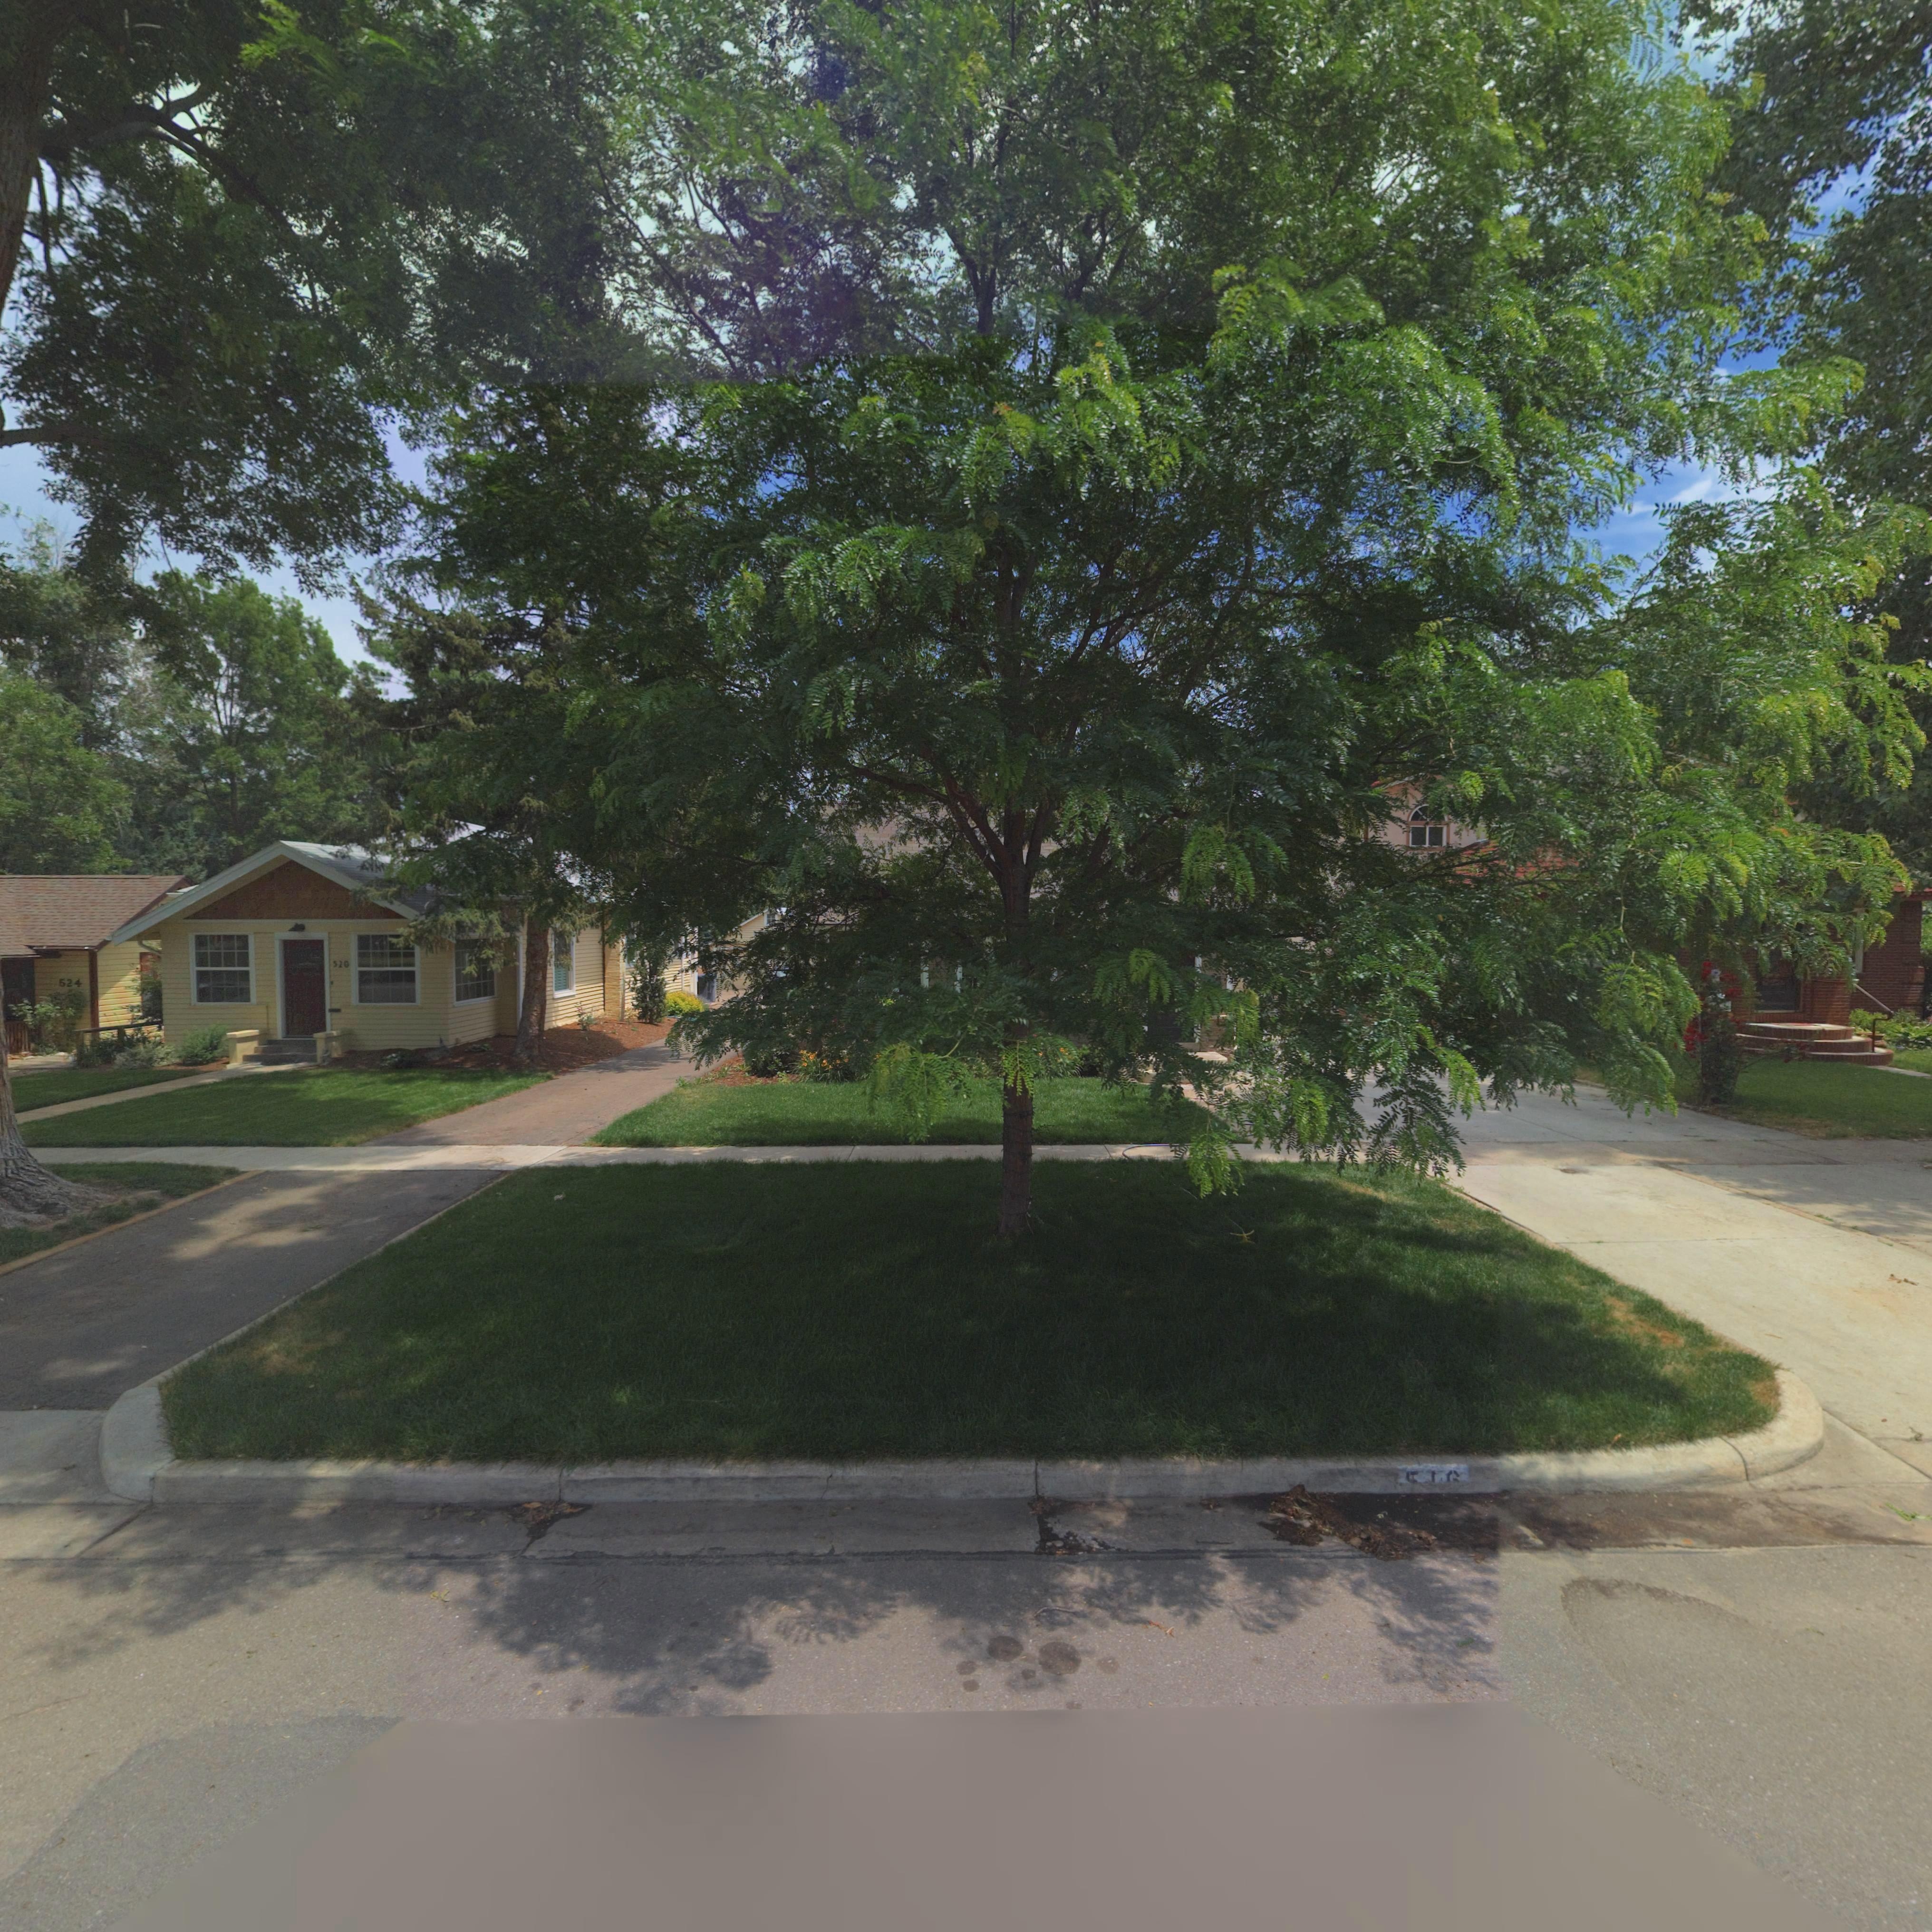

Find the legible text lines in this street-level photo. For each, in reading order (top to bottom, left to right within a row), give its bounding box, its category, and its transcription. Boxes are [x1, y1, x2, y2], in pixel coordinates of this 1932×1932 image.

[332, 959, 350, 968] StreetNumber: 520
[58, 978, 83, 987] StreetNumber: 524